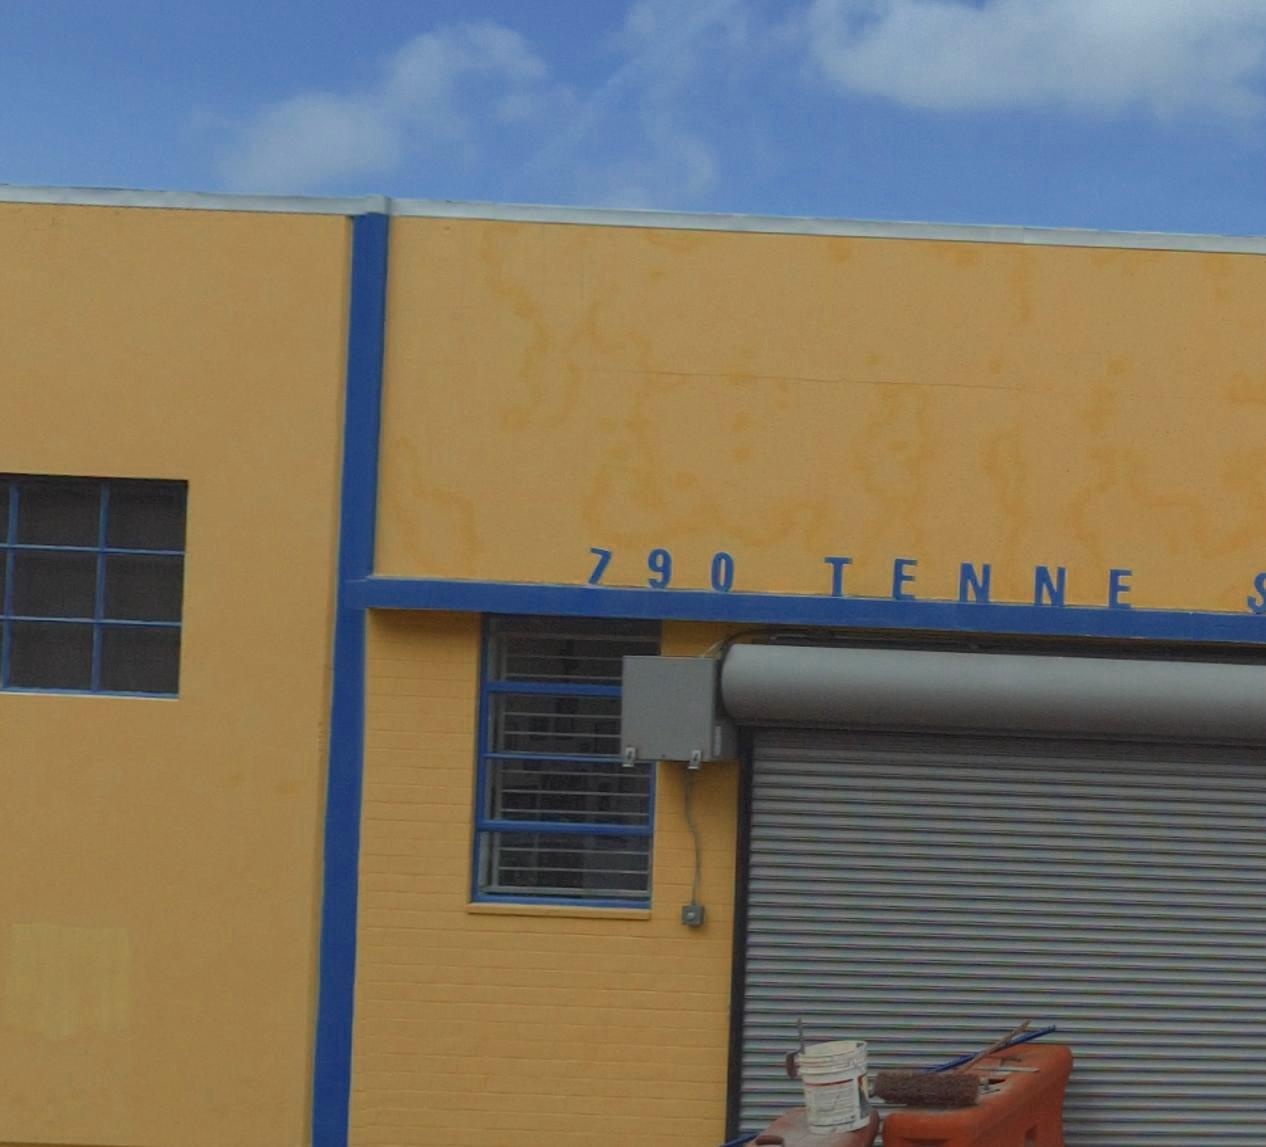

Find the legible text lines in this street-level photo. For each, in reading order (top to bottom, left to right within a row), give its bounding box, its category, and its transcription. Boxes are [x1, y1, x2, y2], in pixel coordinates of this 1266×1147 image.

[586, 545, 737, 596] StreetNumber: 790
[822, 554, 1134, 611] None: TENNE